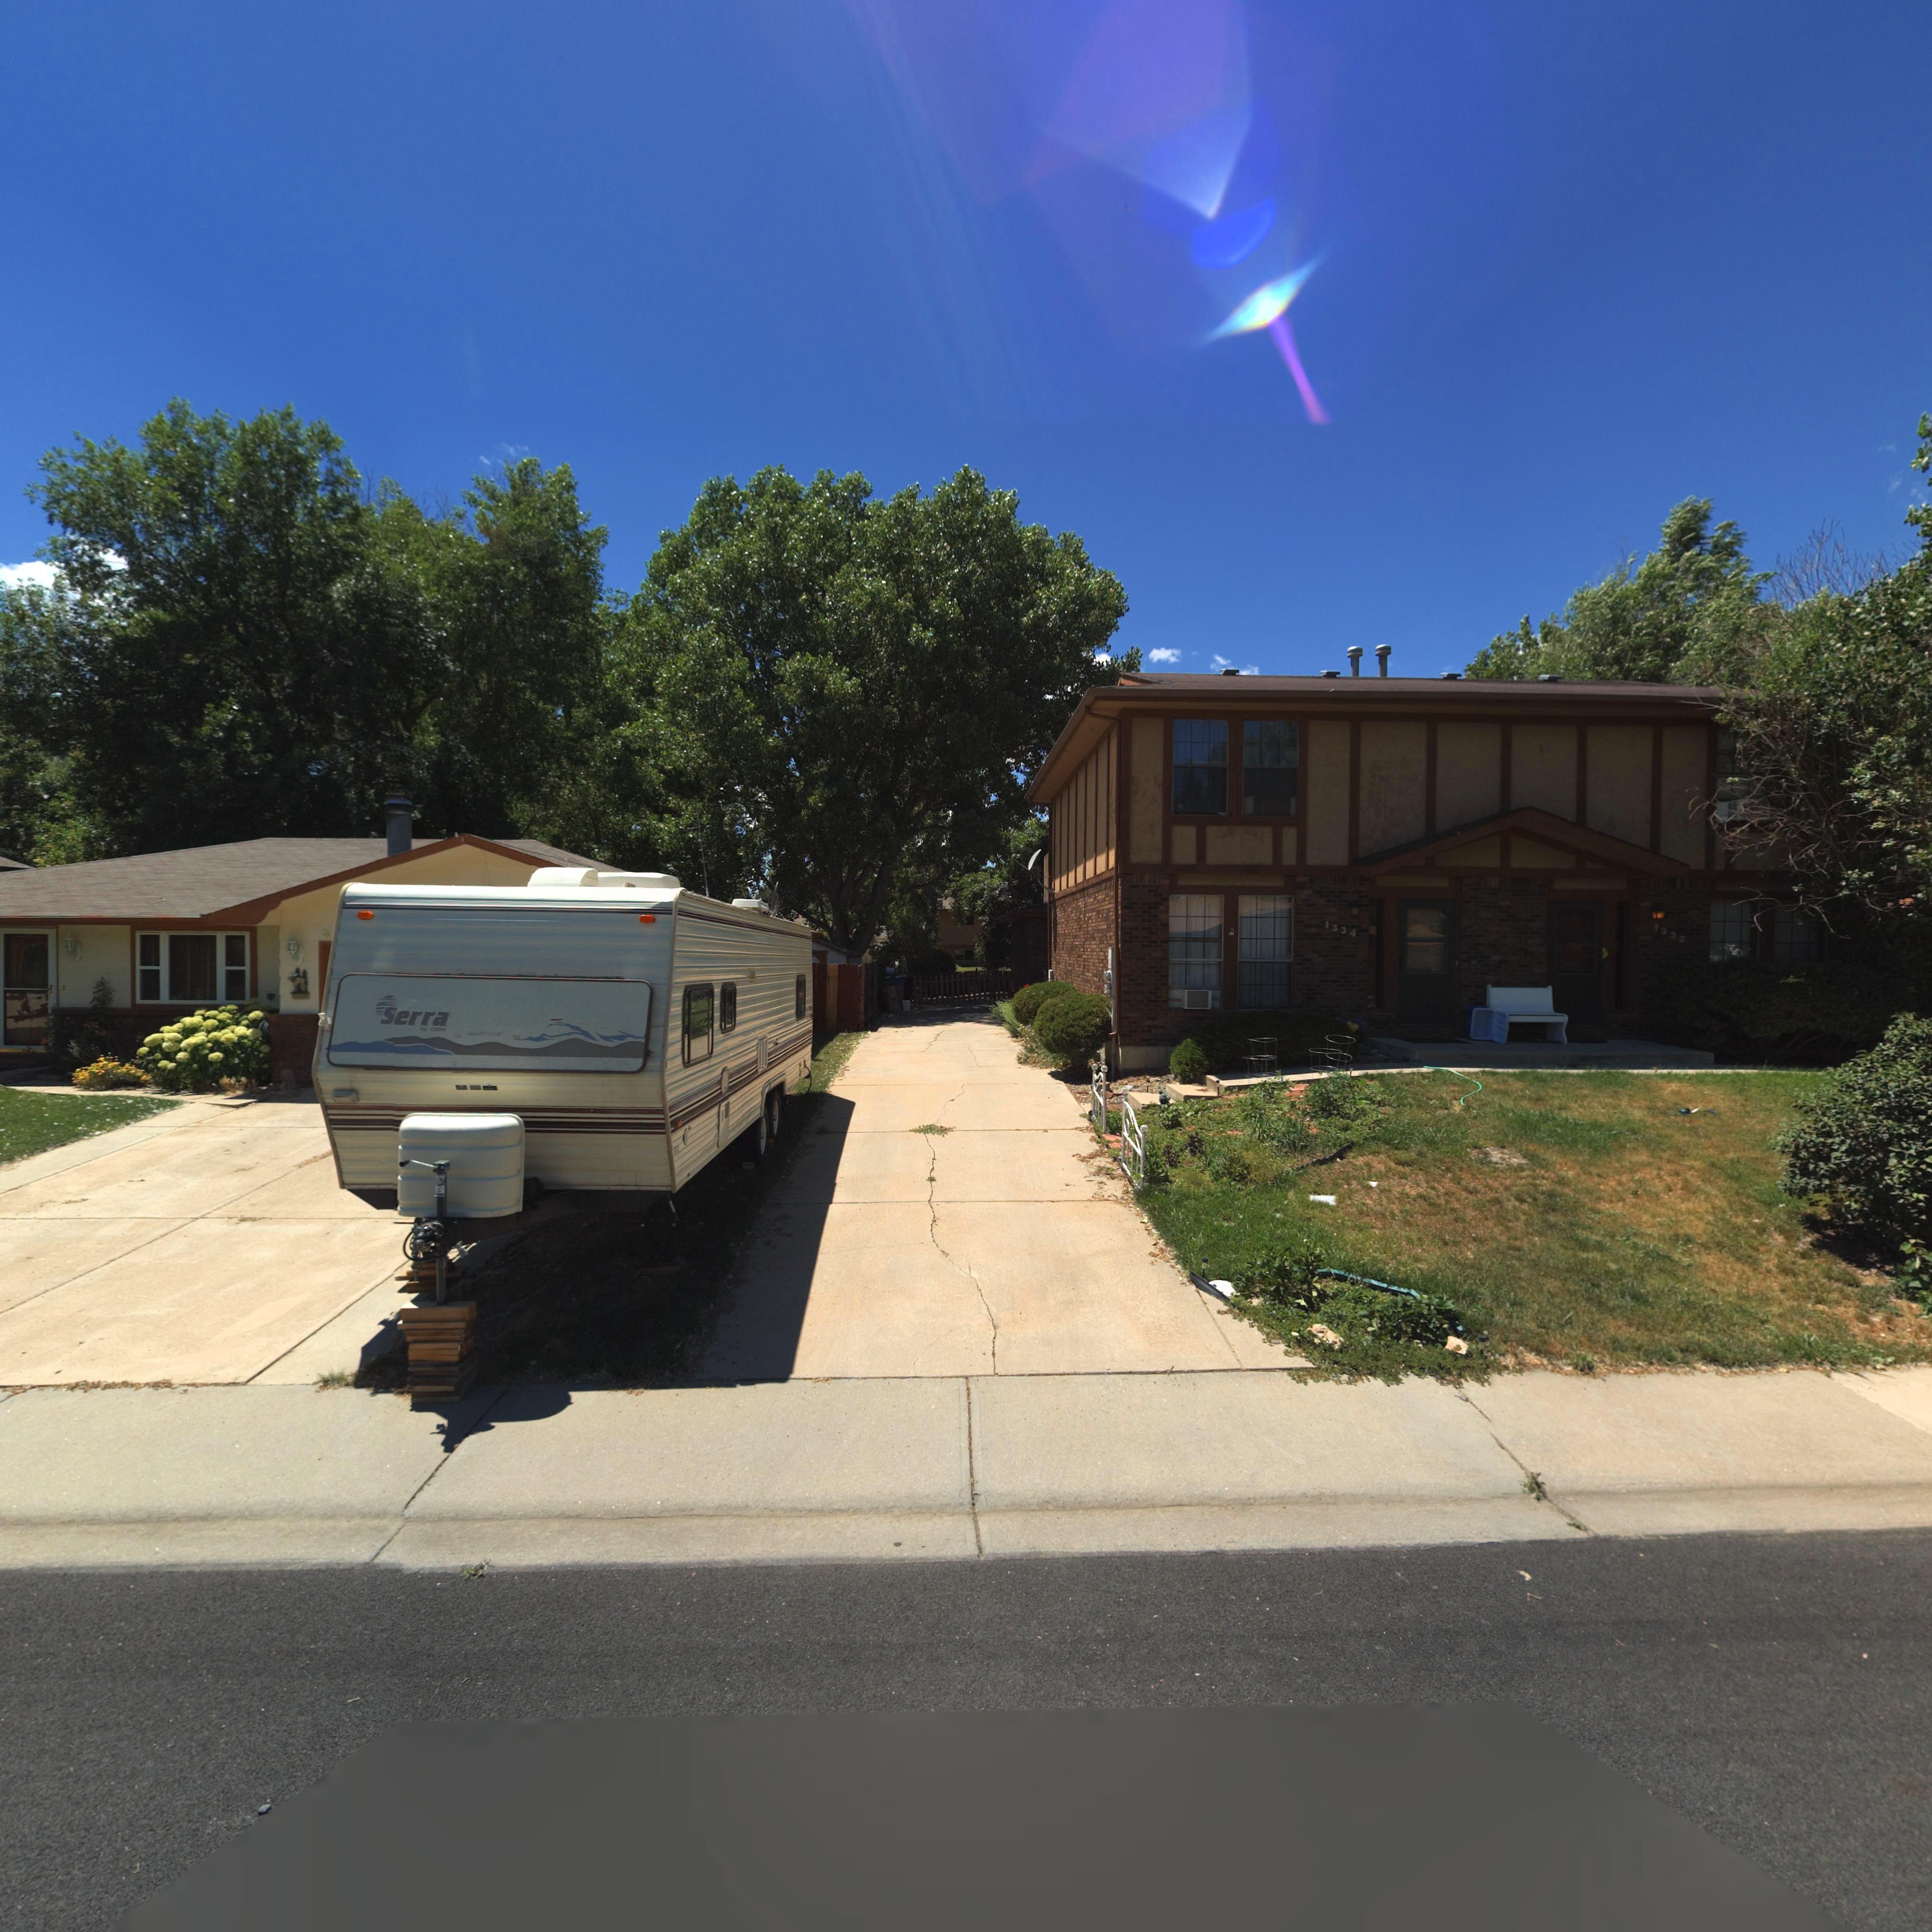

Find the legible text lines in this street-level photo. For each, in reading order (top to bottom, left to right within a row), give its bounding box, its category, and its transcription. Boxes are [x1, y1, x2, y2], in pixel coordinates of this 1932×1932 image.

[1325, 920, 1356, 937] StreetNumber: 1334
[1653, 923, 1686, 943] StreetNumber: 1332